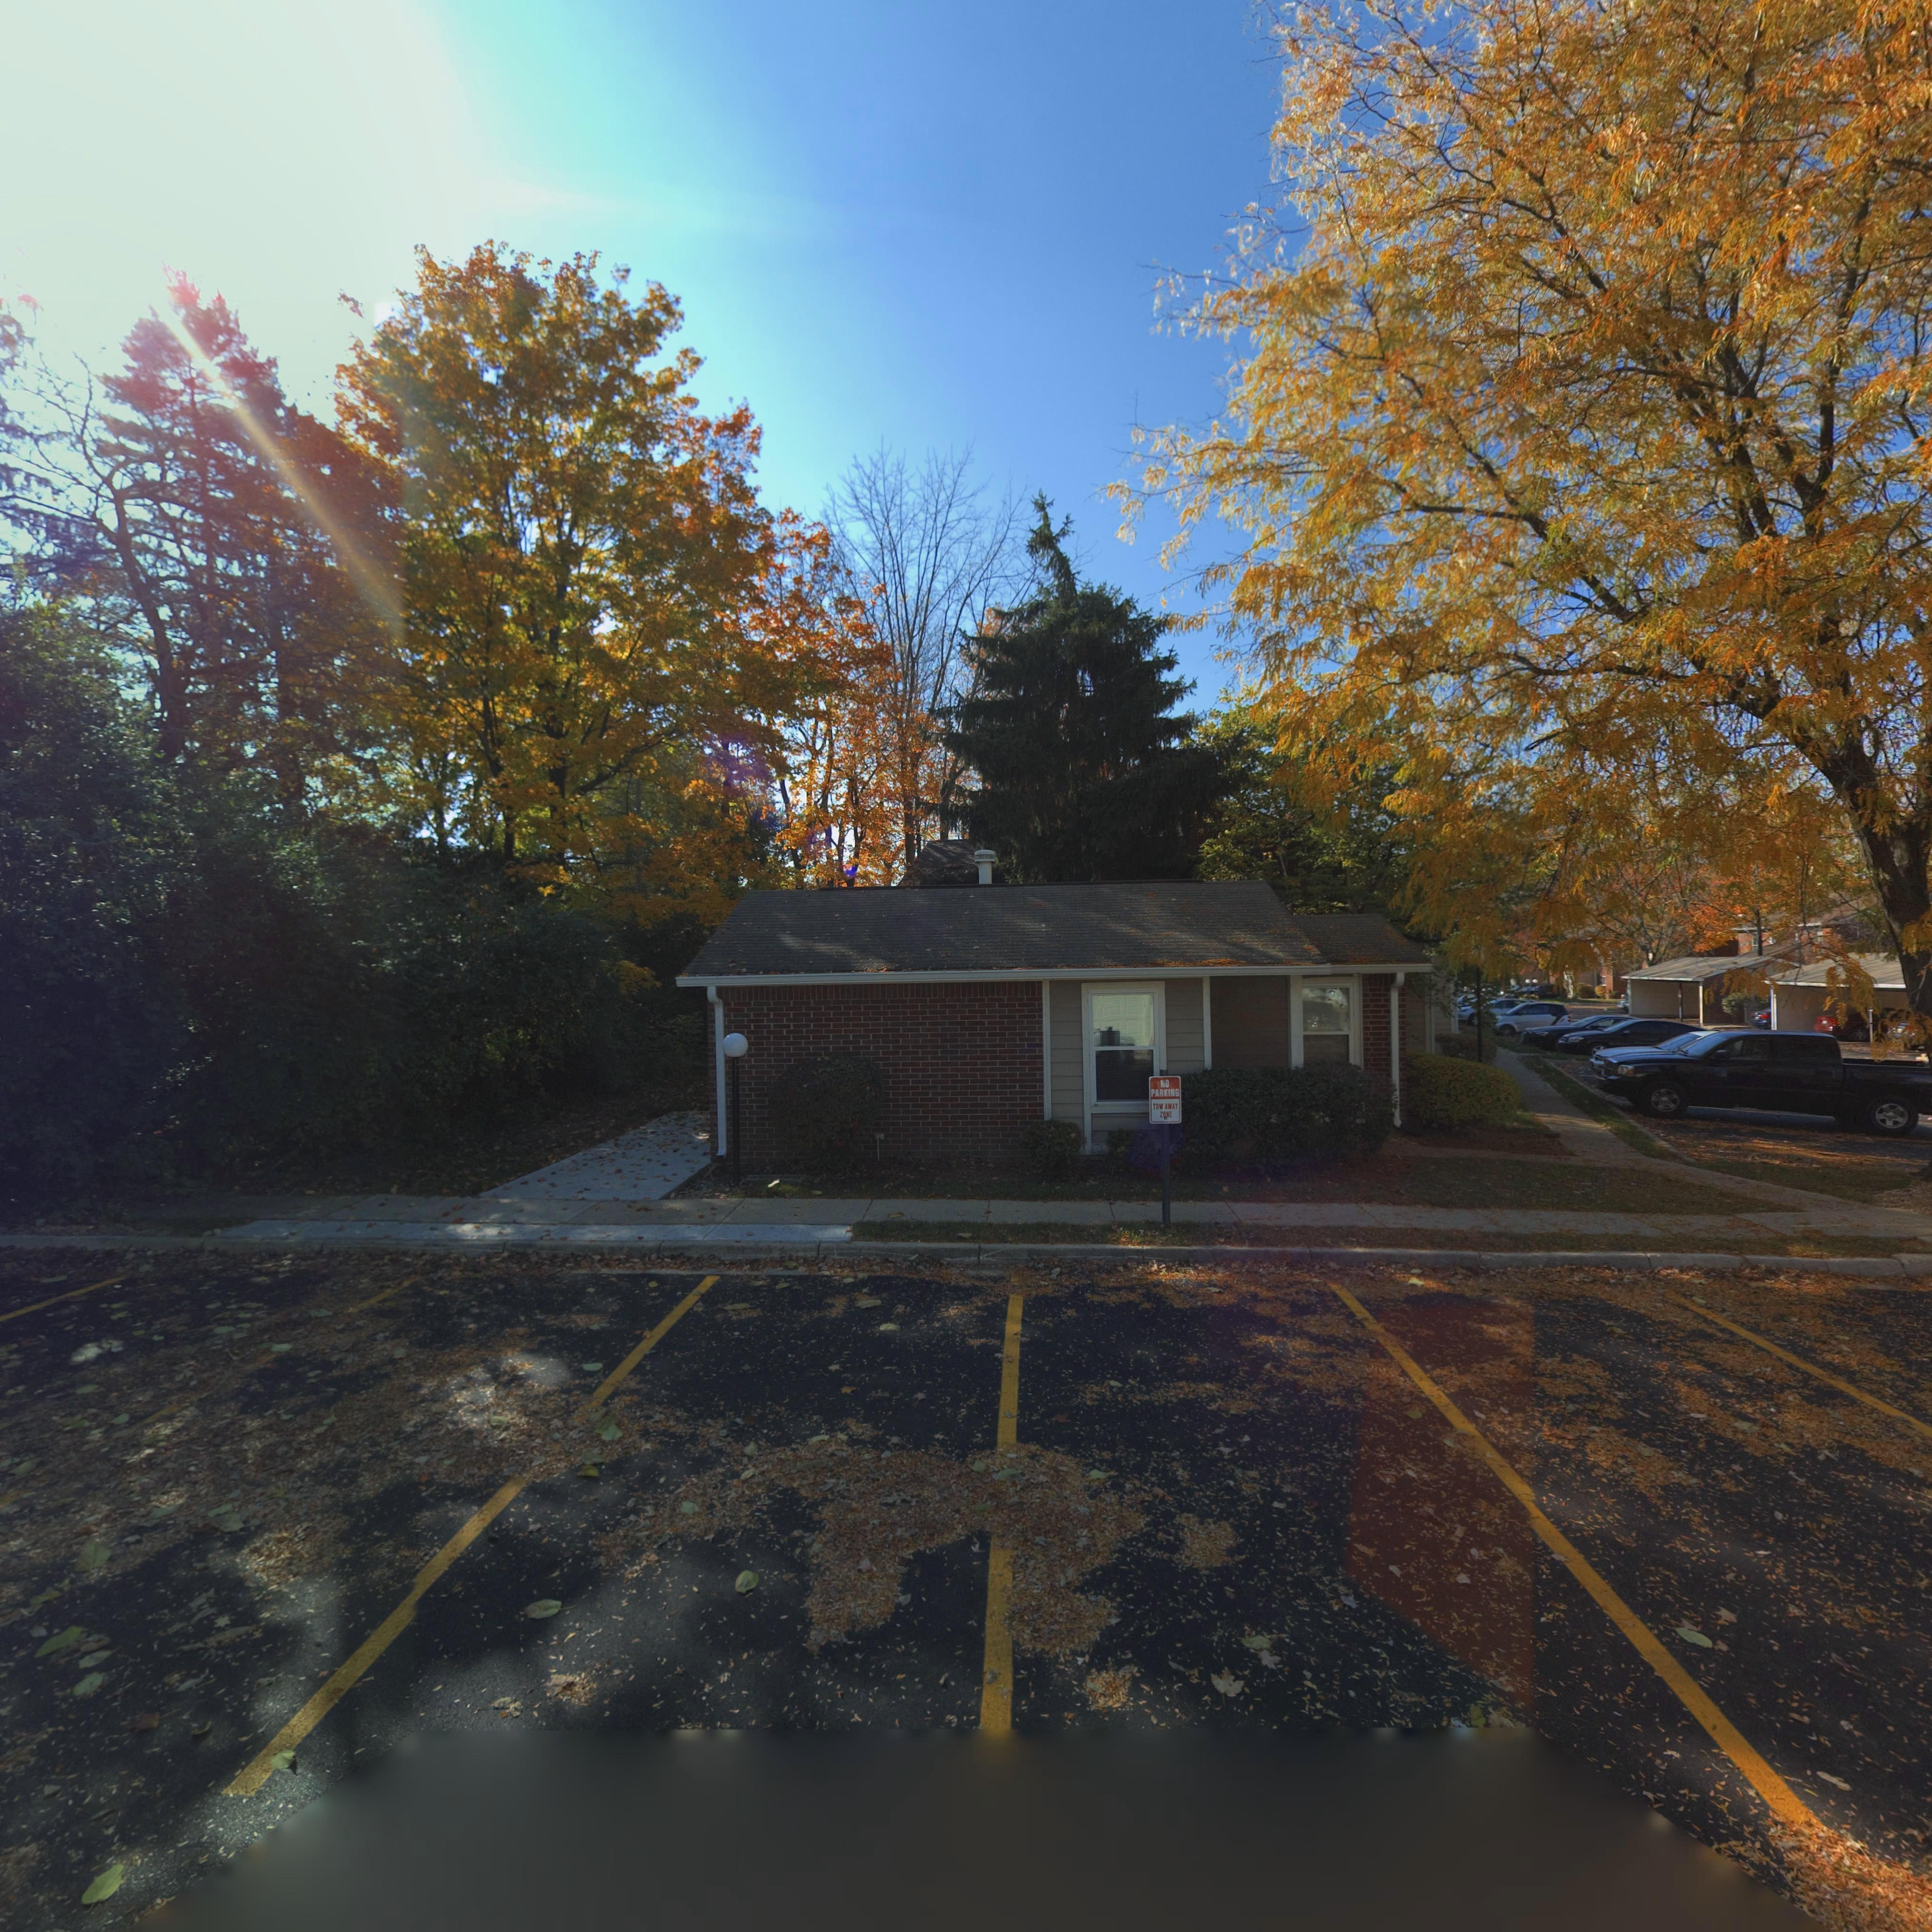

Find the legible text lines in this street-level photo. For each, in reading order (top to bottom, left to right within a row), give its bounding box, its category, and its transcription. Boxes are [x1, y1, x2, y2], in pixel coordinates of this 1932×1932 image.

[1150, 1088, 1180, 1098] None: PARKING
[1151, 1102, 1179, 1111] None: TOW AWAY
[1159, 1111, 1173, 1119] None: Z**E